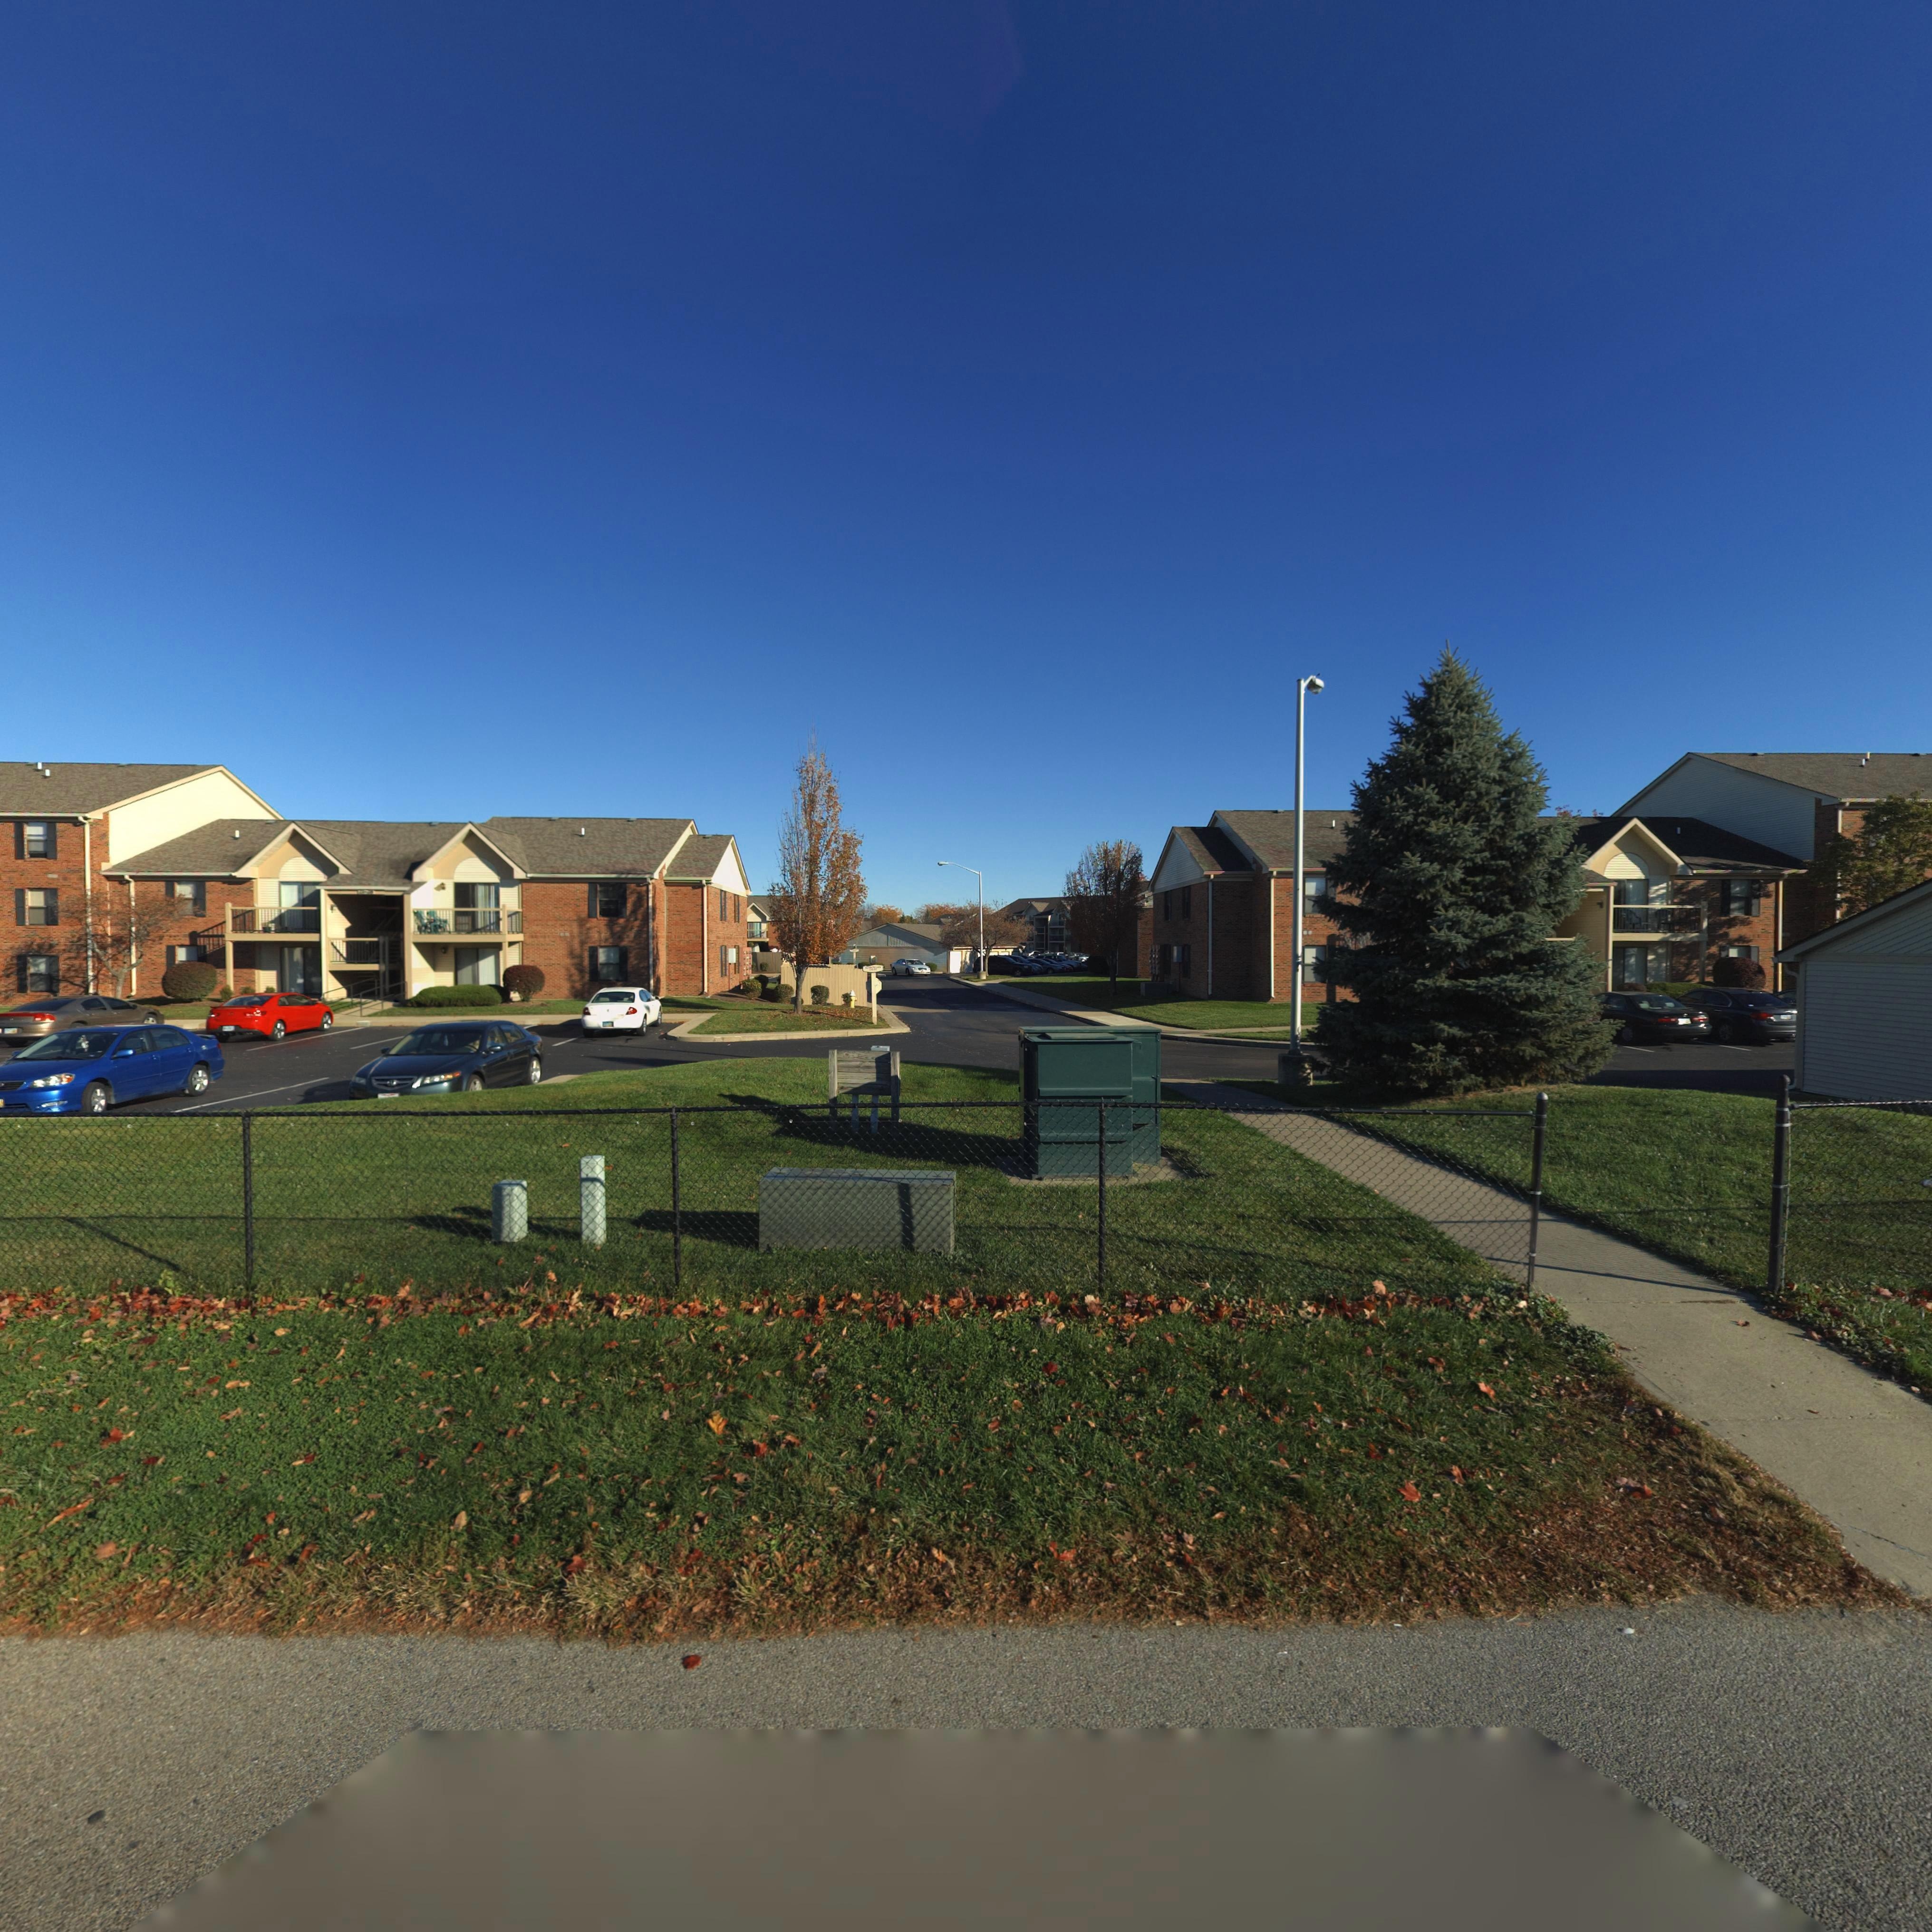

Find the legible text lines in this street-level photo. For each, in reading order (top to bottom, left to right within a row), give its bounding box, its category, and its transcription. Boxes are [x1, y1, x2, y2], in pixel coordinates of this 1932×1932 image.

[358, 889, 365, 894] StreetNumber: 2*
[367, 889, 373, 894] StreetNumber: 2*